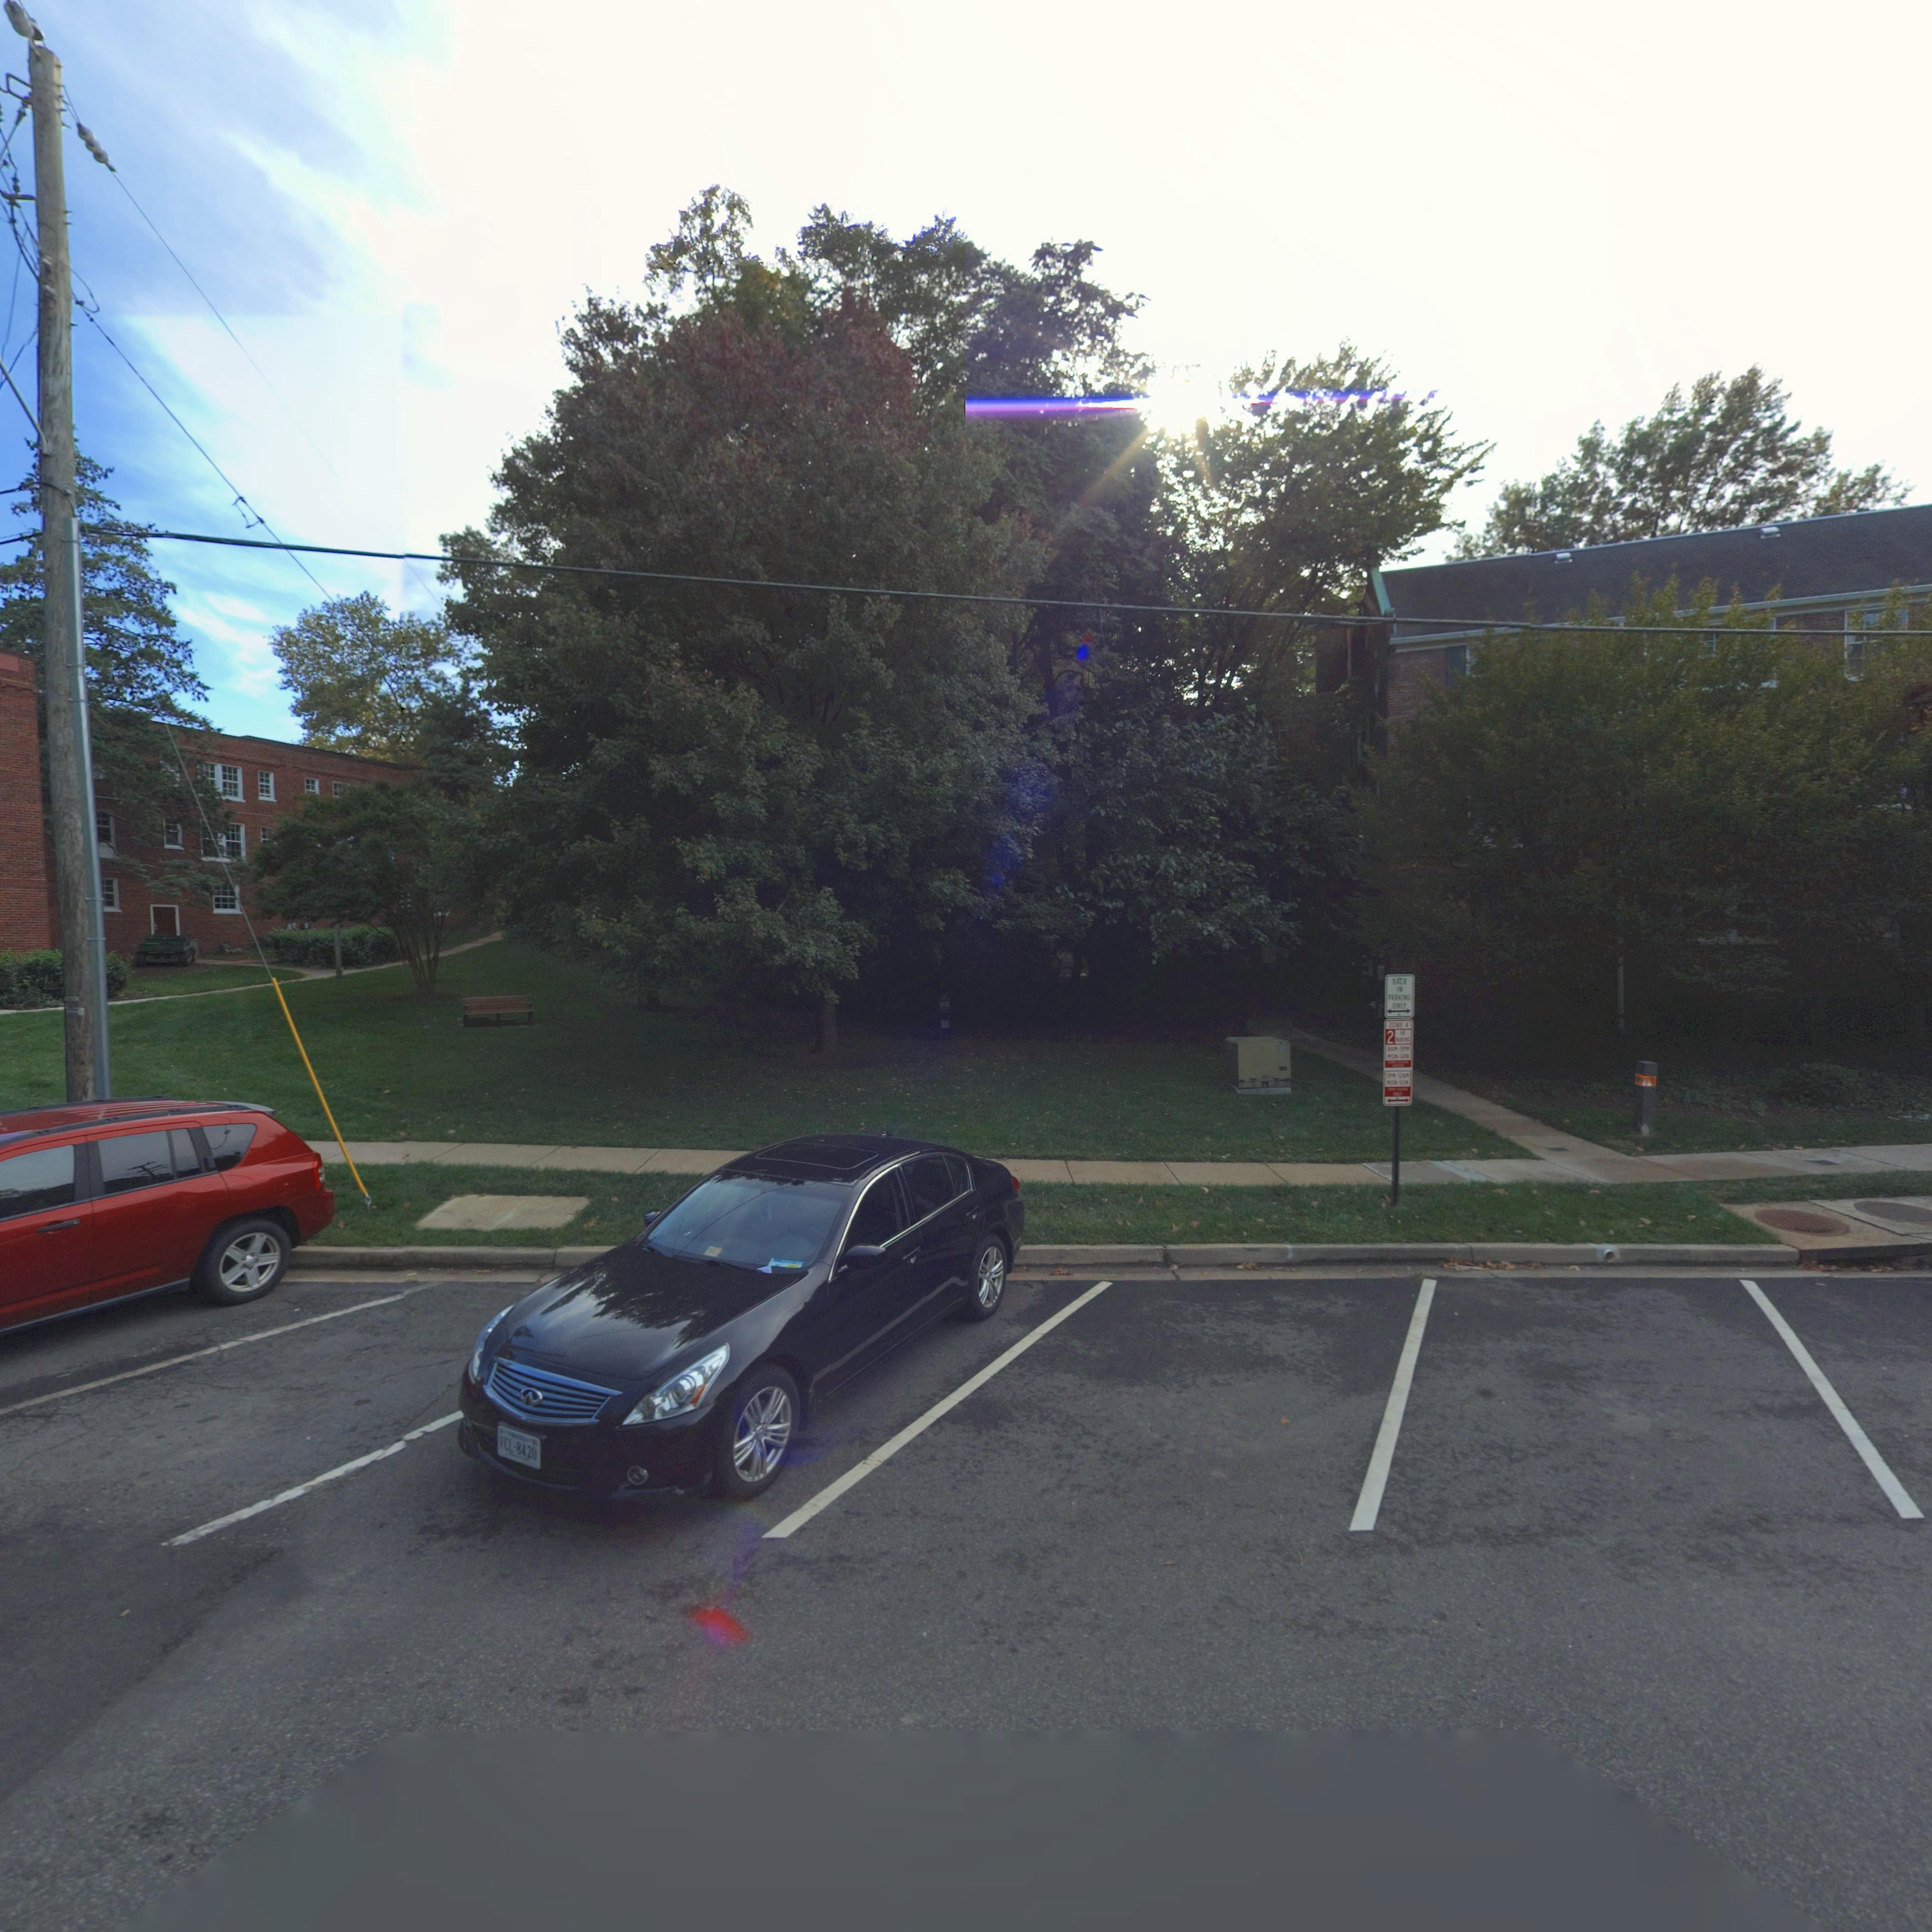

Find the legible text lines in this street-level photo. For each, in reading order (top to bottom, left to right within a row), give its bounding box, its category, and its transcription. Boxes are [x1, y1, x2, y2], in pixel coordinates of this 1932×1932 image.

[1391, 977, 1405, 986] None: BAC
[1395, 986, 1404, 994] None: IN
[1387, 993, 1412, 1002] None: PAR*ING
[1391, 1002, 1408, 1011] None: ONLY
[1388, 1020, 1410, 1030] None: ZO*E 4
[1385, 1028, 1395, 1046] None: 2
[1385, 1045, 1411, 1053] None: 8AM-5PM
[1390, 1053, 1404, 1060] None: ON-S
[1388, 1072, 1407, 1079] None: PM-12A
[1386, 1079, 1410, 1086] None: MON-S*N
[502, 1435, 540, 1463] None: CL-8420